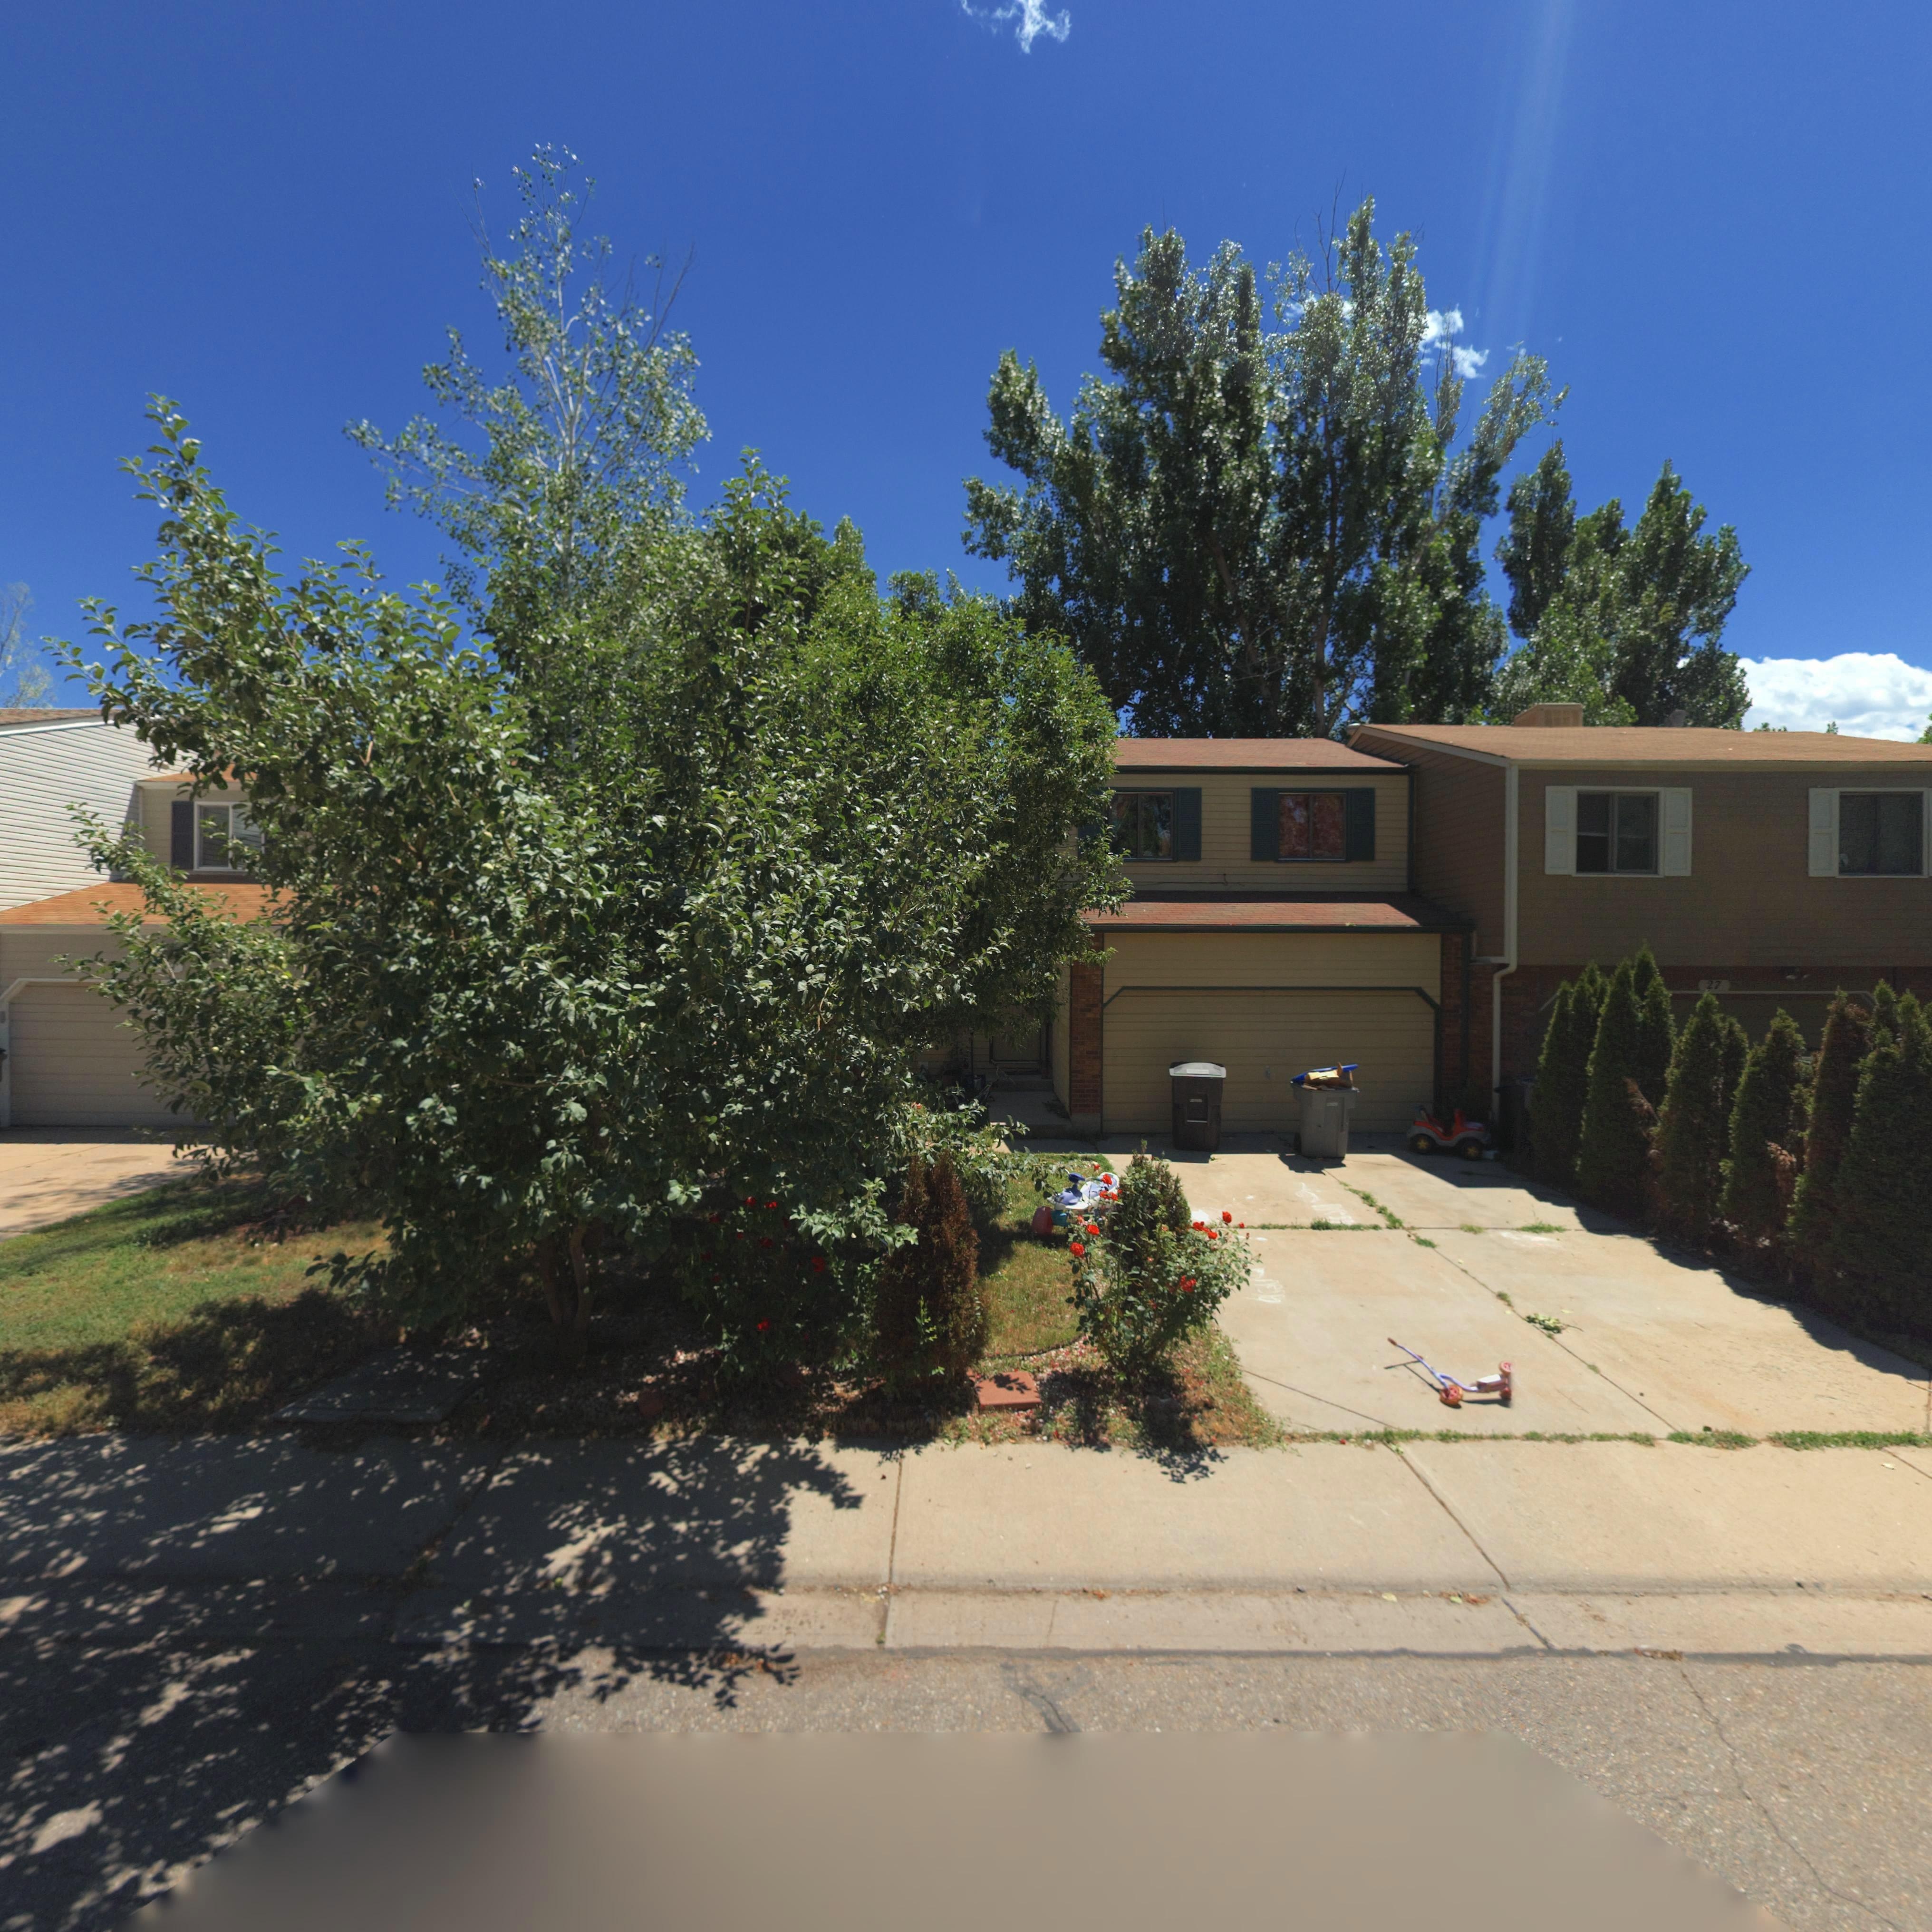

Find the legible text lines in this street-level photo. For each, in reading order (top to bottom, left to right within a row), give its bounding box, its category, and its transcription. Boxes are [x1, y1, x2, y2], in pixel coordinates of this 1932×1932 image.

[1706, 980, 1722, 989] StreetNumber: 27